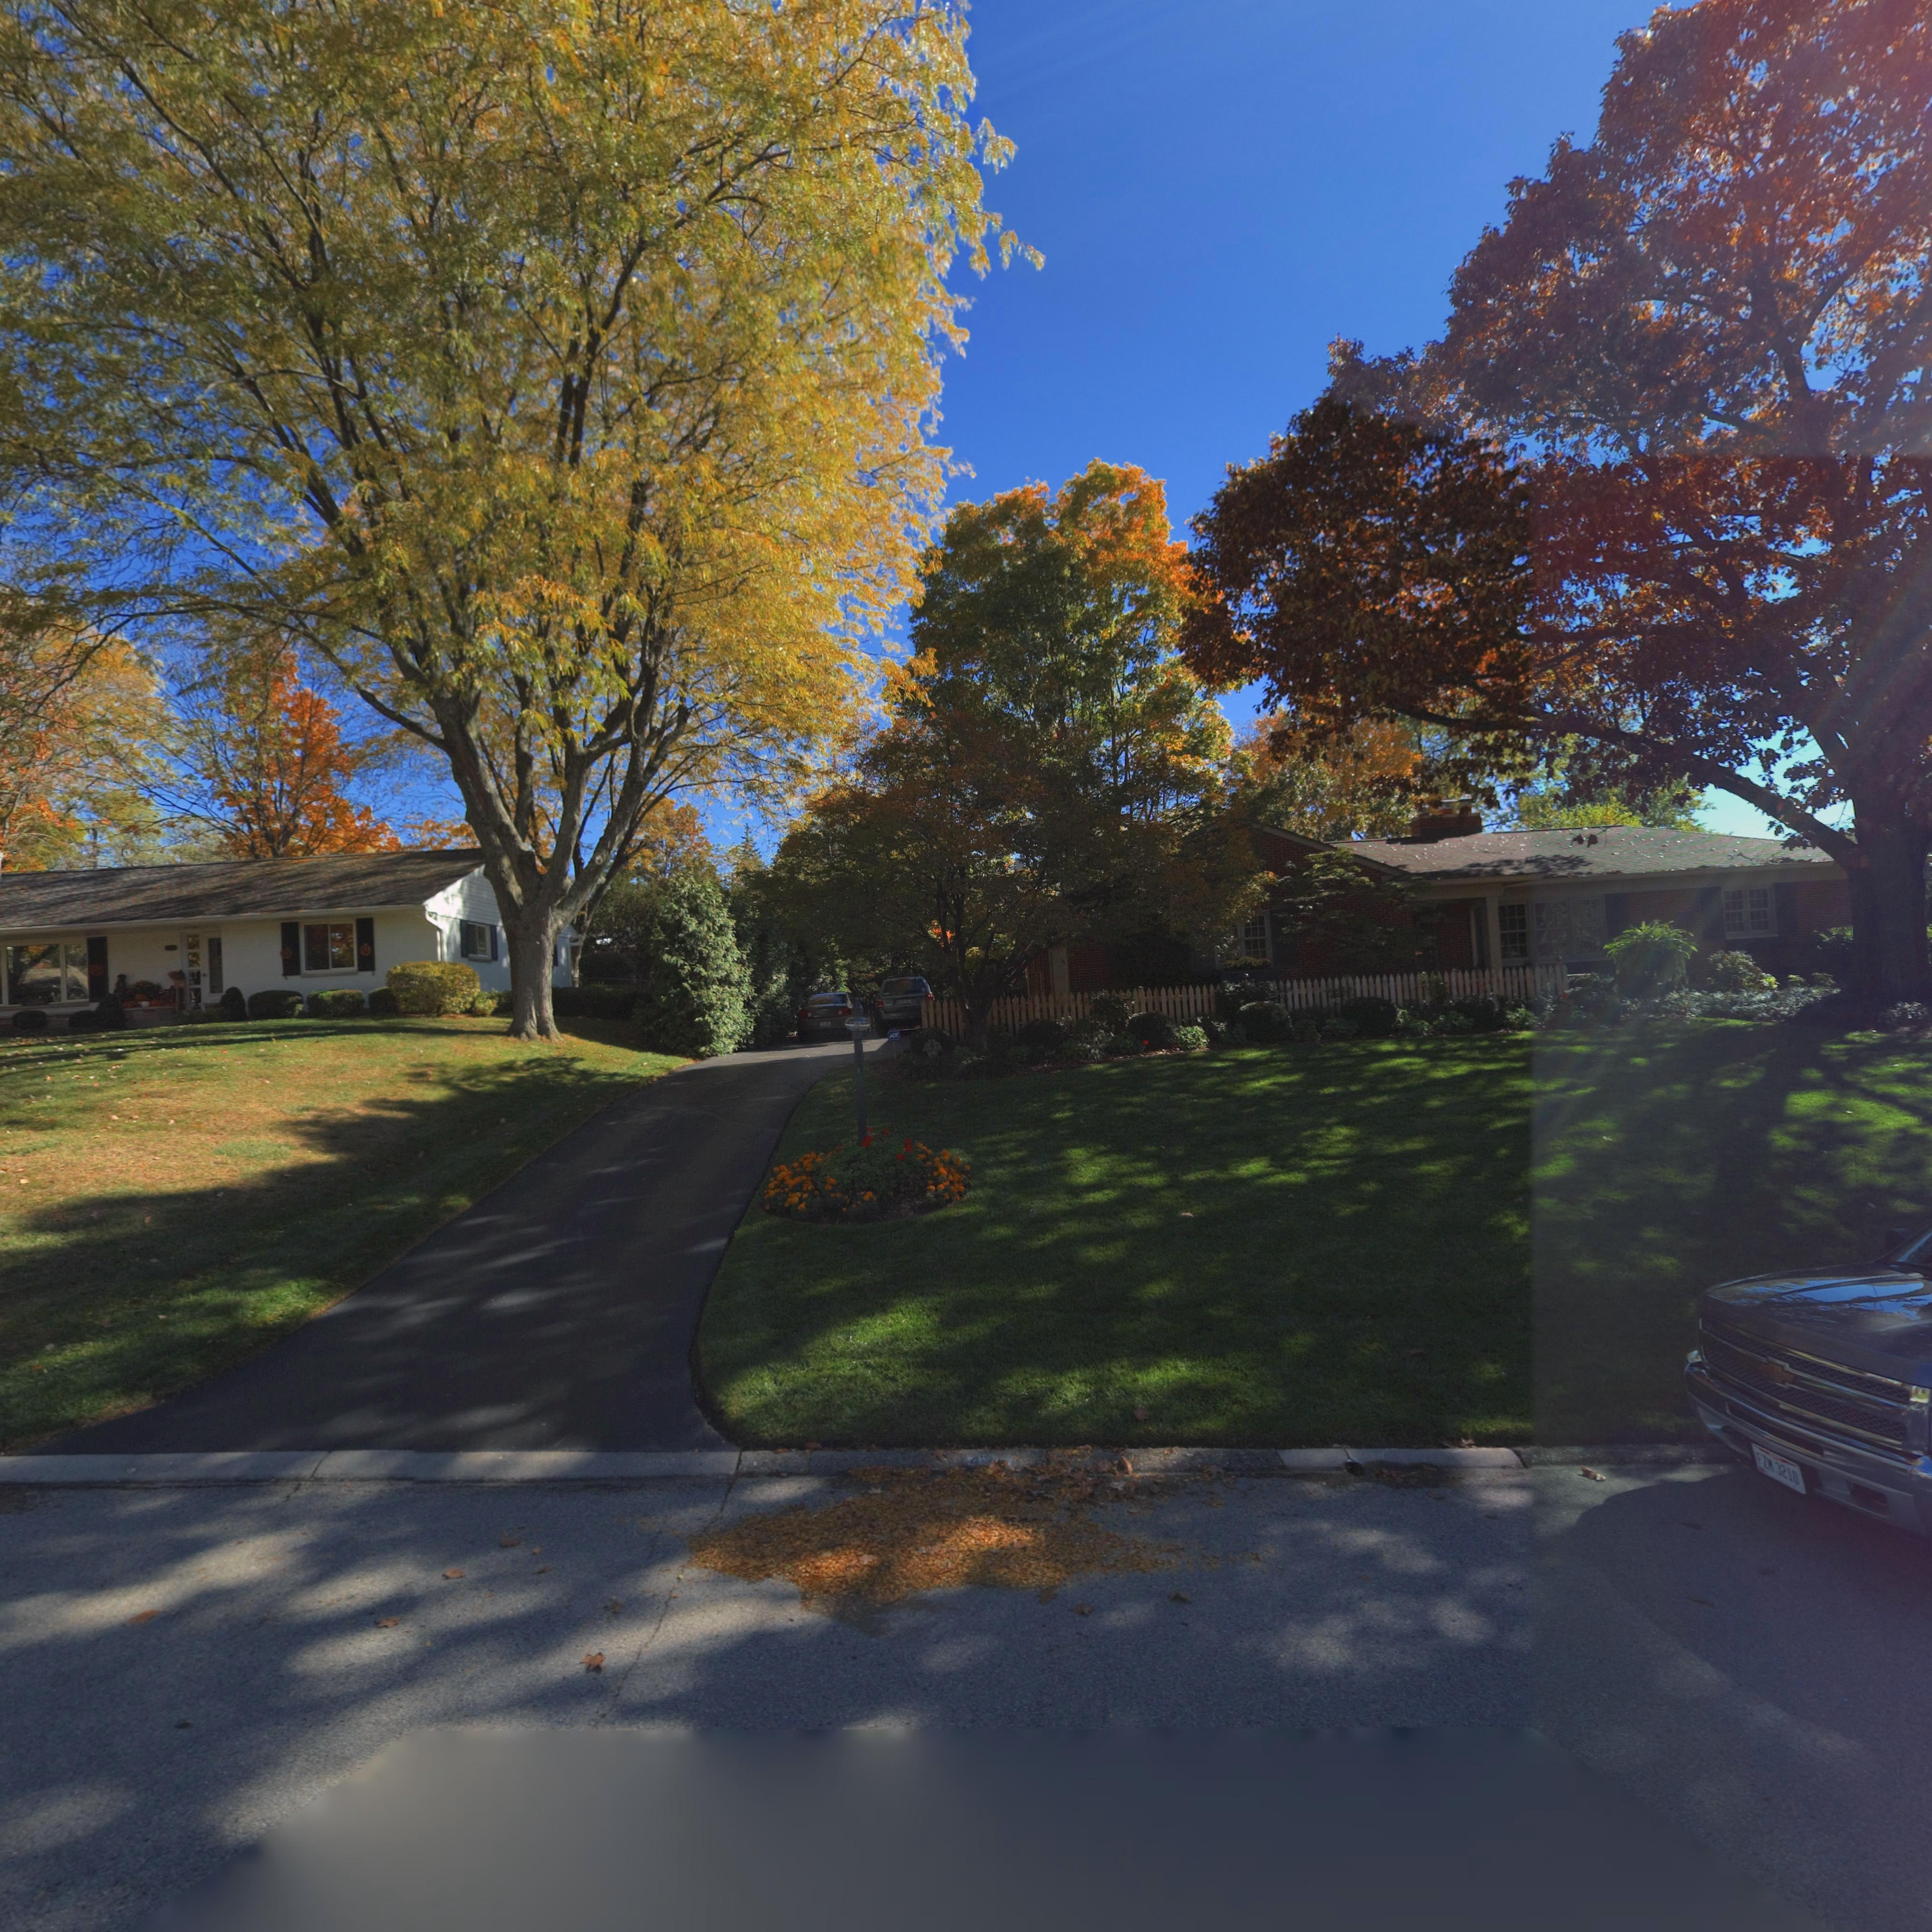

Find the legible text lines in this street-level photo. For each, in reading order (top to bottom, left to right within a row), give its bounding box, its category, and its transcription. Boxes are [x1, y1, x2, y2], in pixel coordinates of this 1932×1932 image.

[967, 1455, 980, 1465] StreetNumber: 4